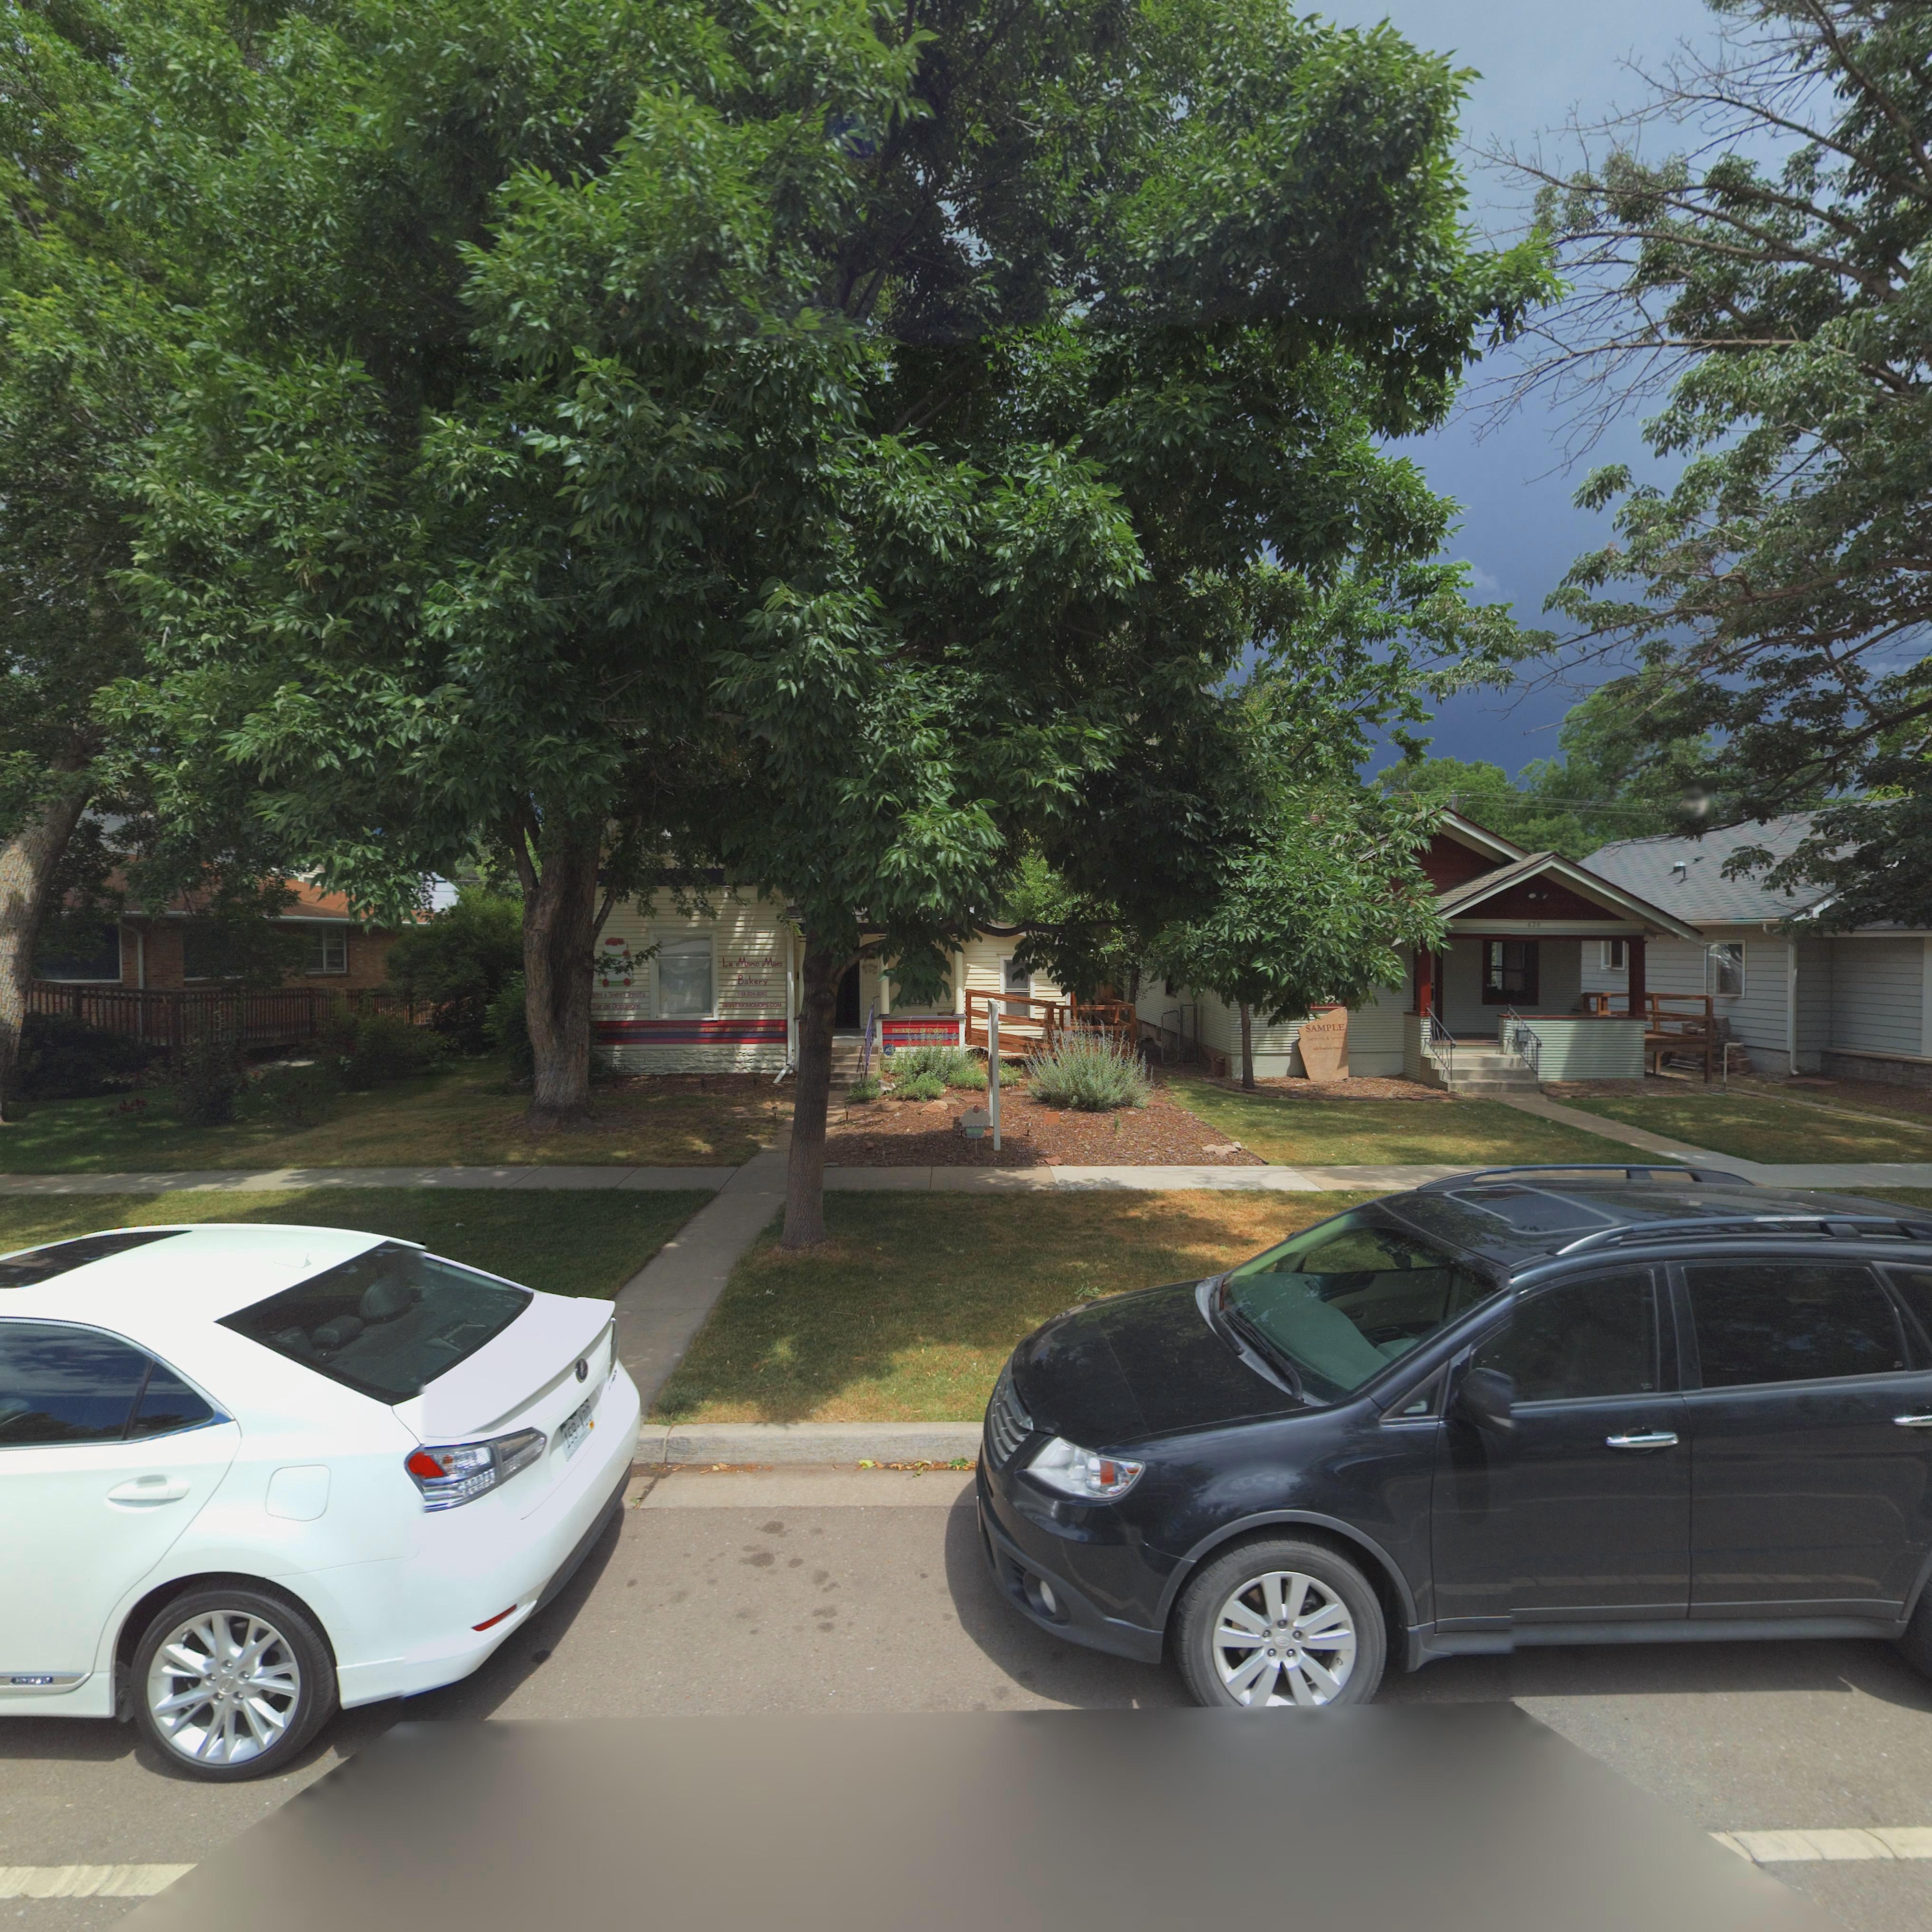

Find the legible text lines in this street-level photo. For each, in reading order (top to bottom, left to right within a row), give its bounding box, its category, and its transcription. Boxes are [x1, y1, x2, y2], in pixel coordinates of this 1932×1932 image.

[1527, 921, 1540, 927] StreetNumber: 620
[722, 956, 783, 967] BusinessName: La Momo Maes
[737, 974, 769, 986] BusinessName: Bakery